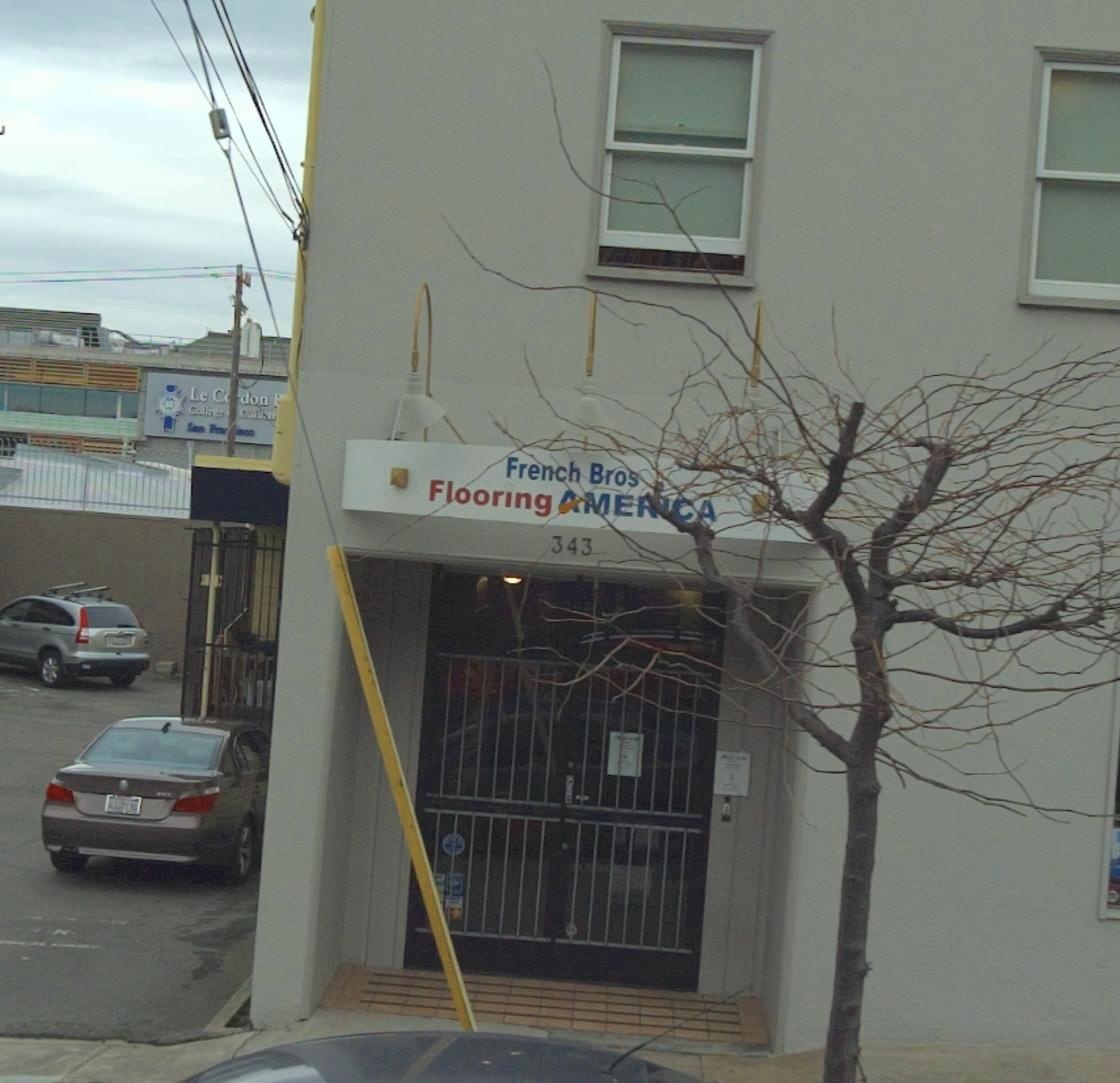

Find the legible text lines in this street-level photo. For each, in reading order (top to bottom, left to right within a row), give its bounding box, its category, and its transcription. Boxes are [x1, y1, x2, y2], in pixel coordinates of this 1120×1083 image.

[189, 385, 270, 406] BusinessName: Le C**don
[187, 403, 226, 420] BusinessName: College
[185, 421, 258, 438] None: San Fra**sco
[505, 455, 641, 488] BusinessName: French Bros
[427, 477, 719, 522] BusinessName: Flooring *ME**CA
[549, 534, 594, 558] StreetNumber: 343